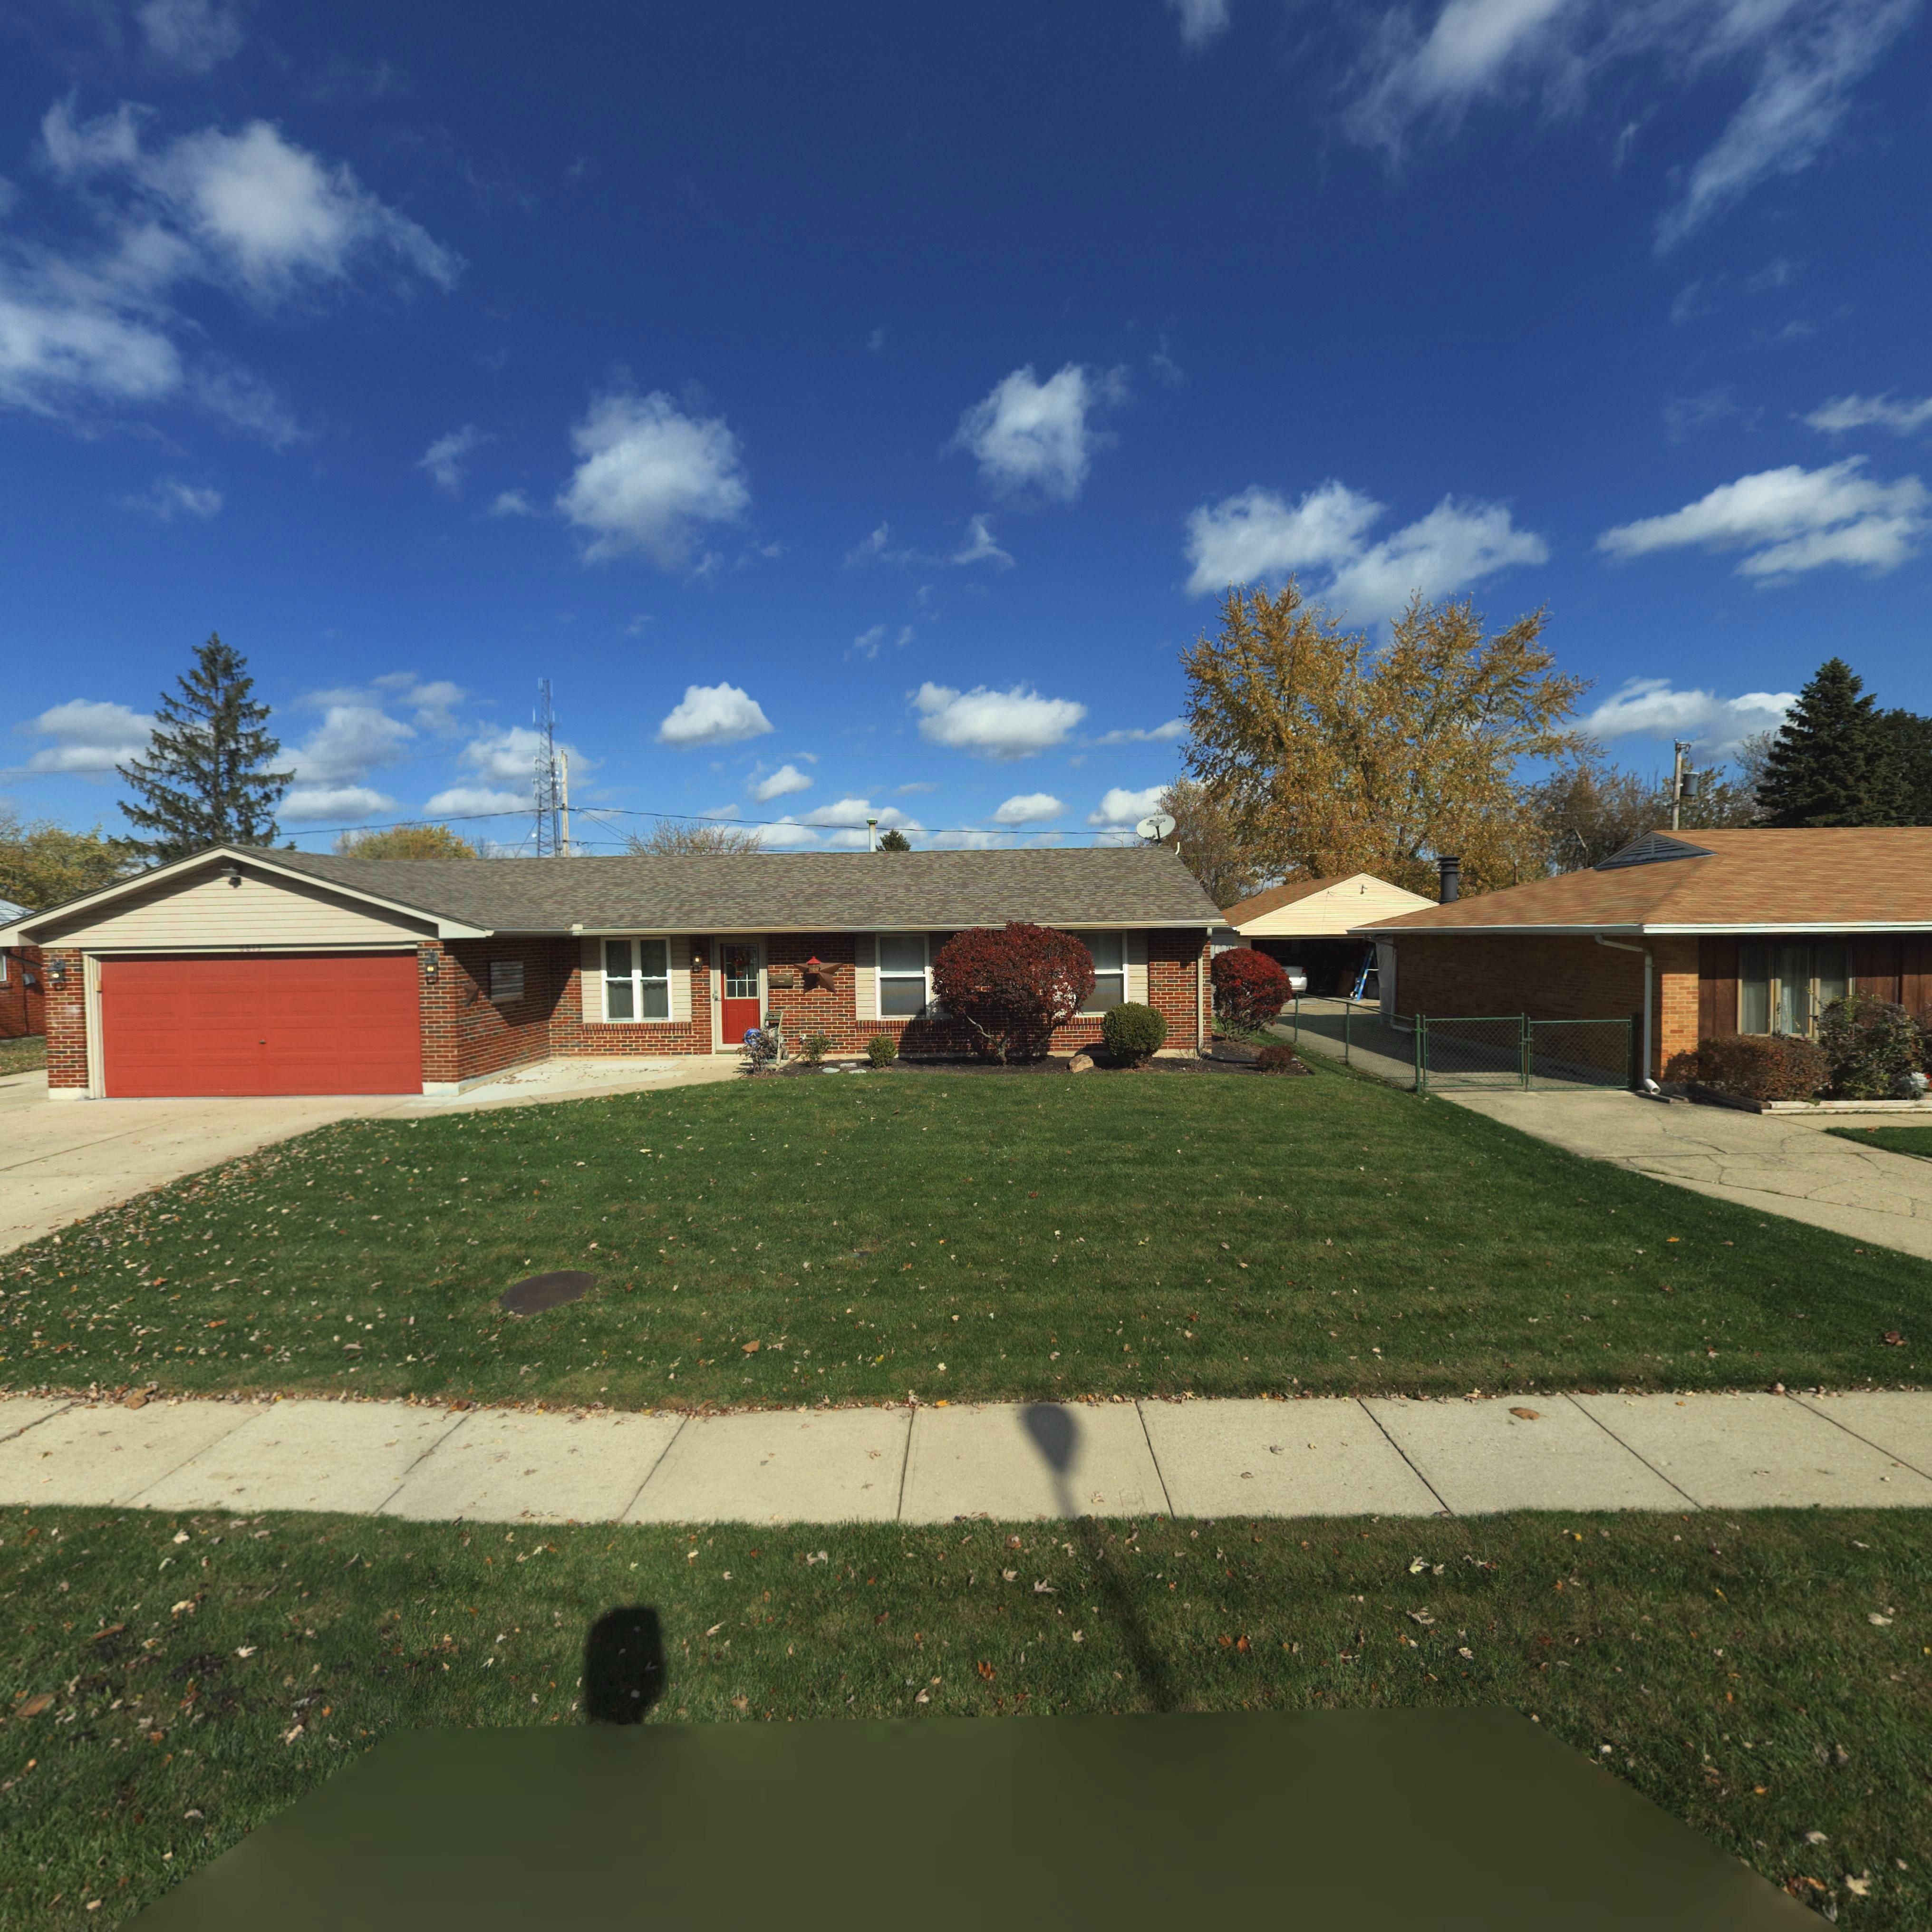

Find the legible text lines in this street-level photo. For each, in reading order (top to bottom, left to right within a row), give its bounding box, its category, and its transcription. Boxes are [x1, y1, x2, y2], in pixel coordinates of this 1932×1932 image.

[238, 944, 262, 952] StreetNumber: 6815